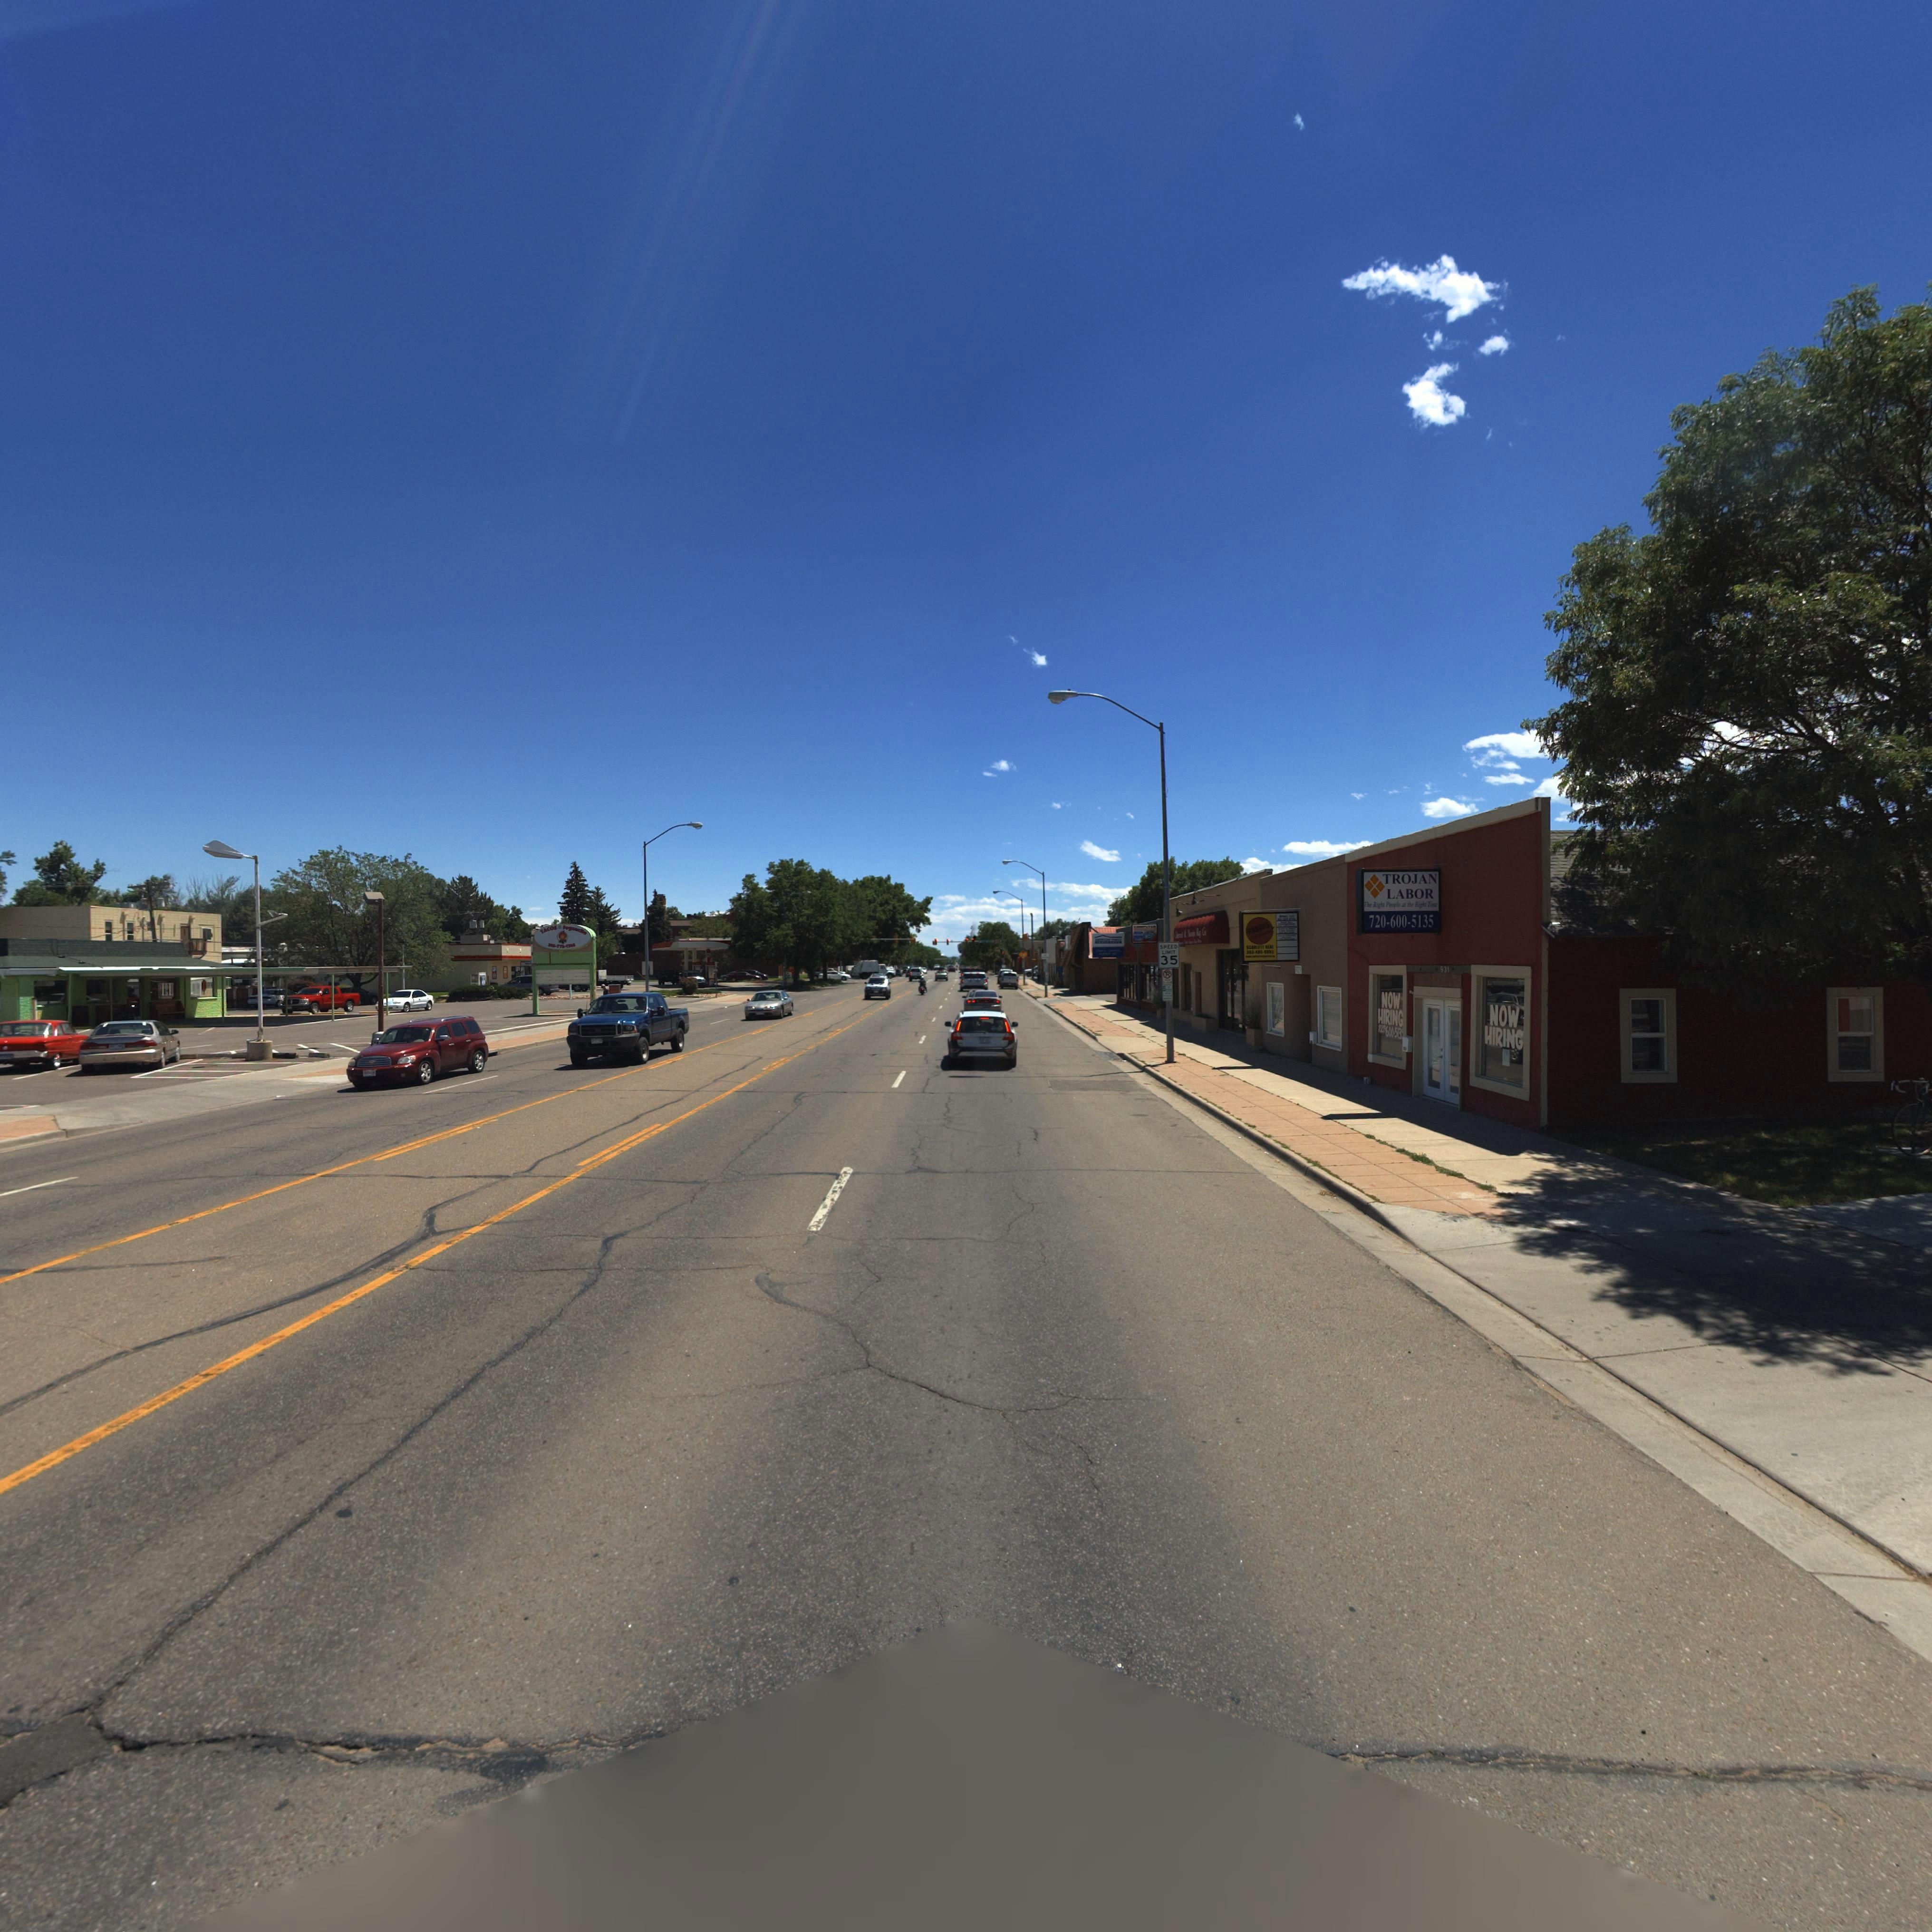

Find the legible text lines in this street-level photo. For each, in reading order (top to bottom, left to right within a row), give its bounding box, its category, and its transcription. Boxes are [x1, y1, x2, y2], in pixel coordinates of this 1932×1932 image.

[1382, 873, 1437, 884] BusinessName: TROJAN
[1386, 888, 1434, 899] BusinessName: LABOR
[1279, 914, 1295, 918] BusinessName: Armor, LLC
[539, 925, 587, 935] BusinessName: TACOS * Fogoncito
[1174, 927, 1207, 938] BusinessName: Oriental & Navajo Rug Co.
[1247, 921, 1269, 935] BusinessName: RADIUS
[1096, 941, 1120, 943] BusinessName: INSURANCE
[1095, 938, 1122, 941] BusinessName: AMERICAN FAMILY
[1294, 966, 1301, 973] StreetNumber: 9**
[1440, 965, 1449, 973] StreetNumber: 931